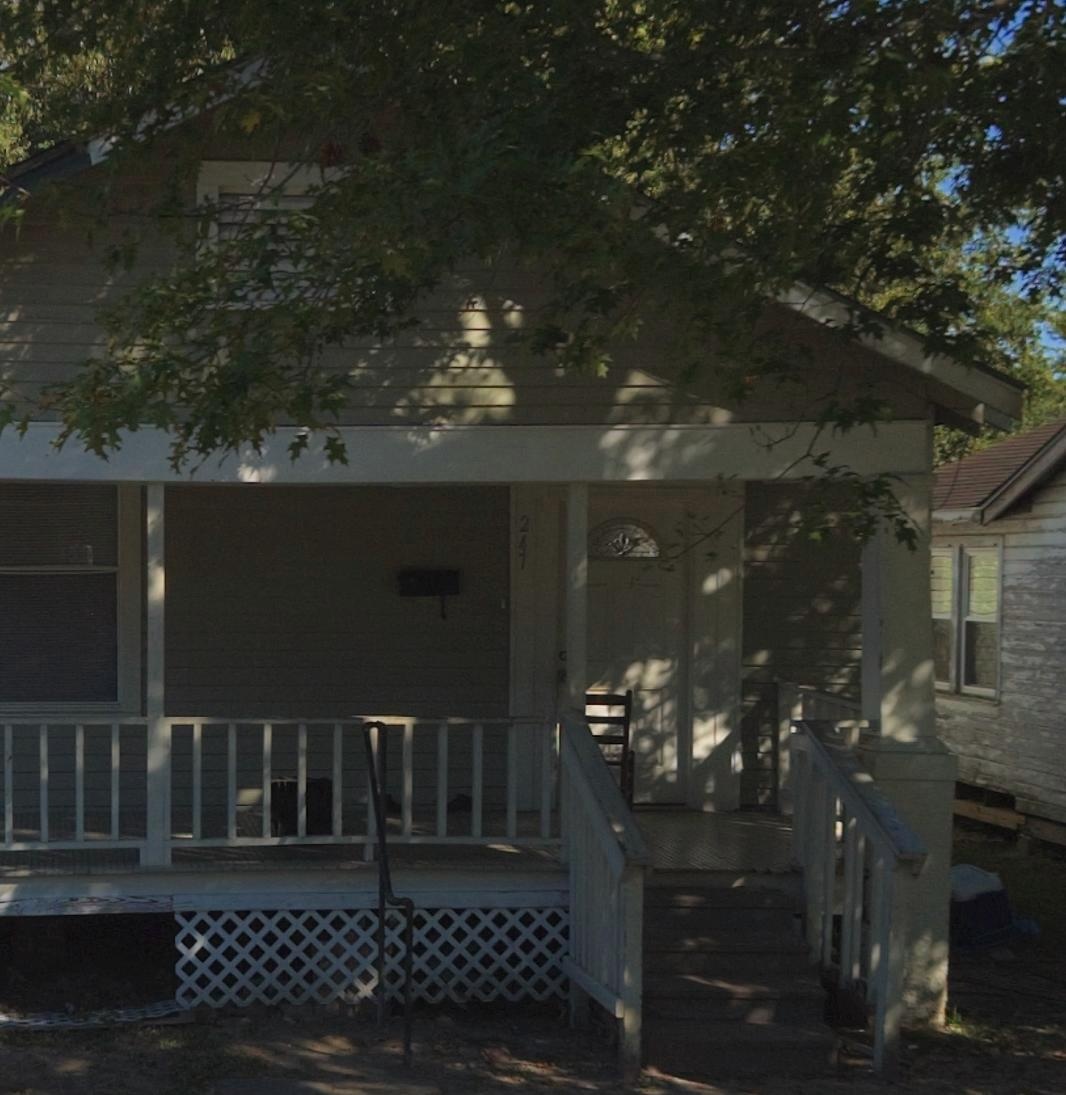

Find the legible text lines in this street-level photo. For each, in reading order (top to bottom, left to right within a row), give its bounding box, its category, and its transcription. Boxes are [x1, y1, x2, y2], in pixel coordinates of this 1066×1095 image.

[515, 513, 531, 572] StreetNumber: 247